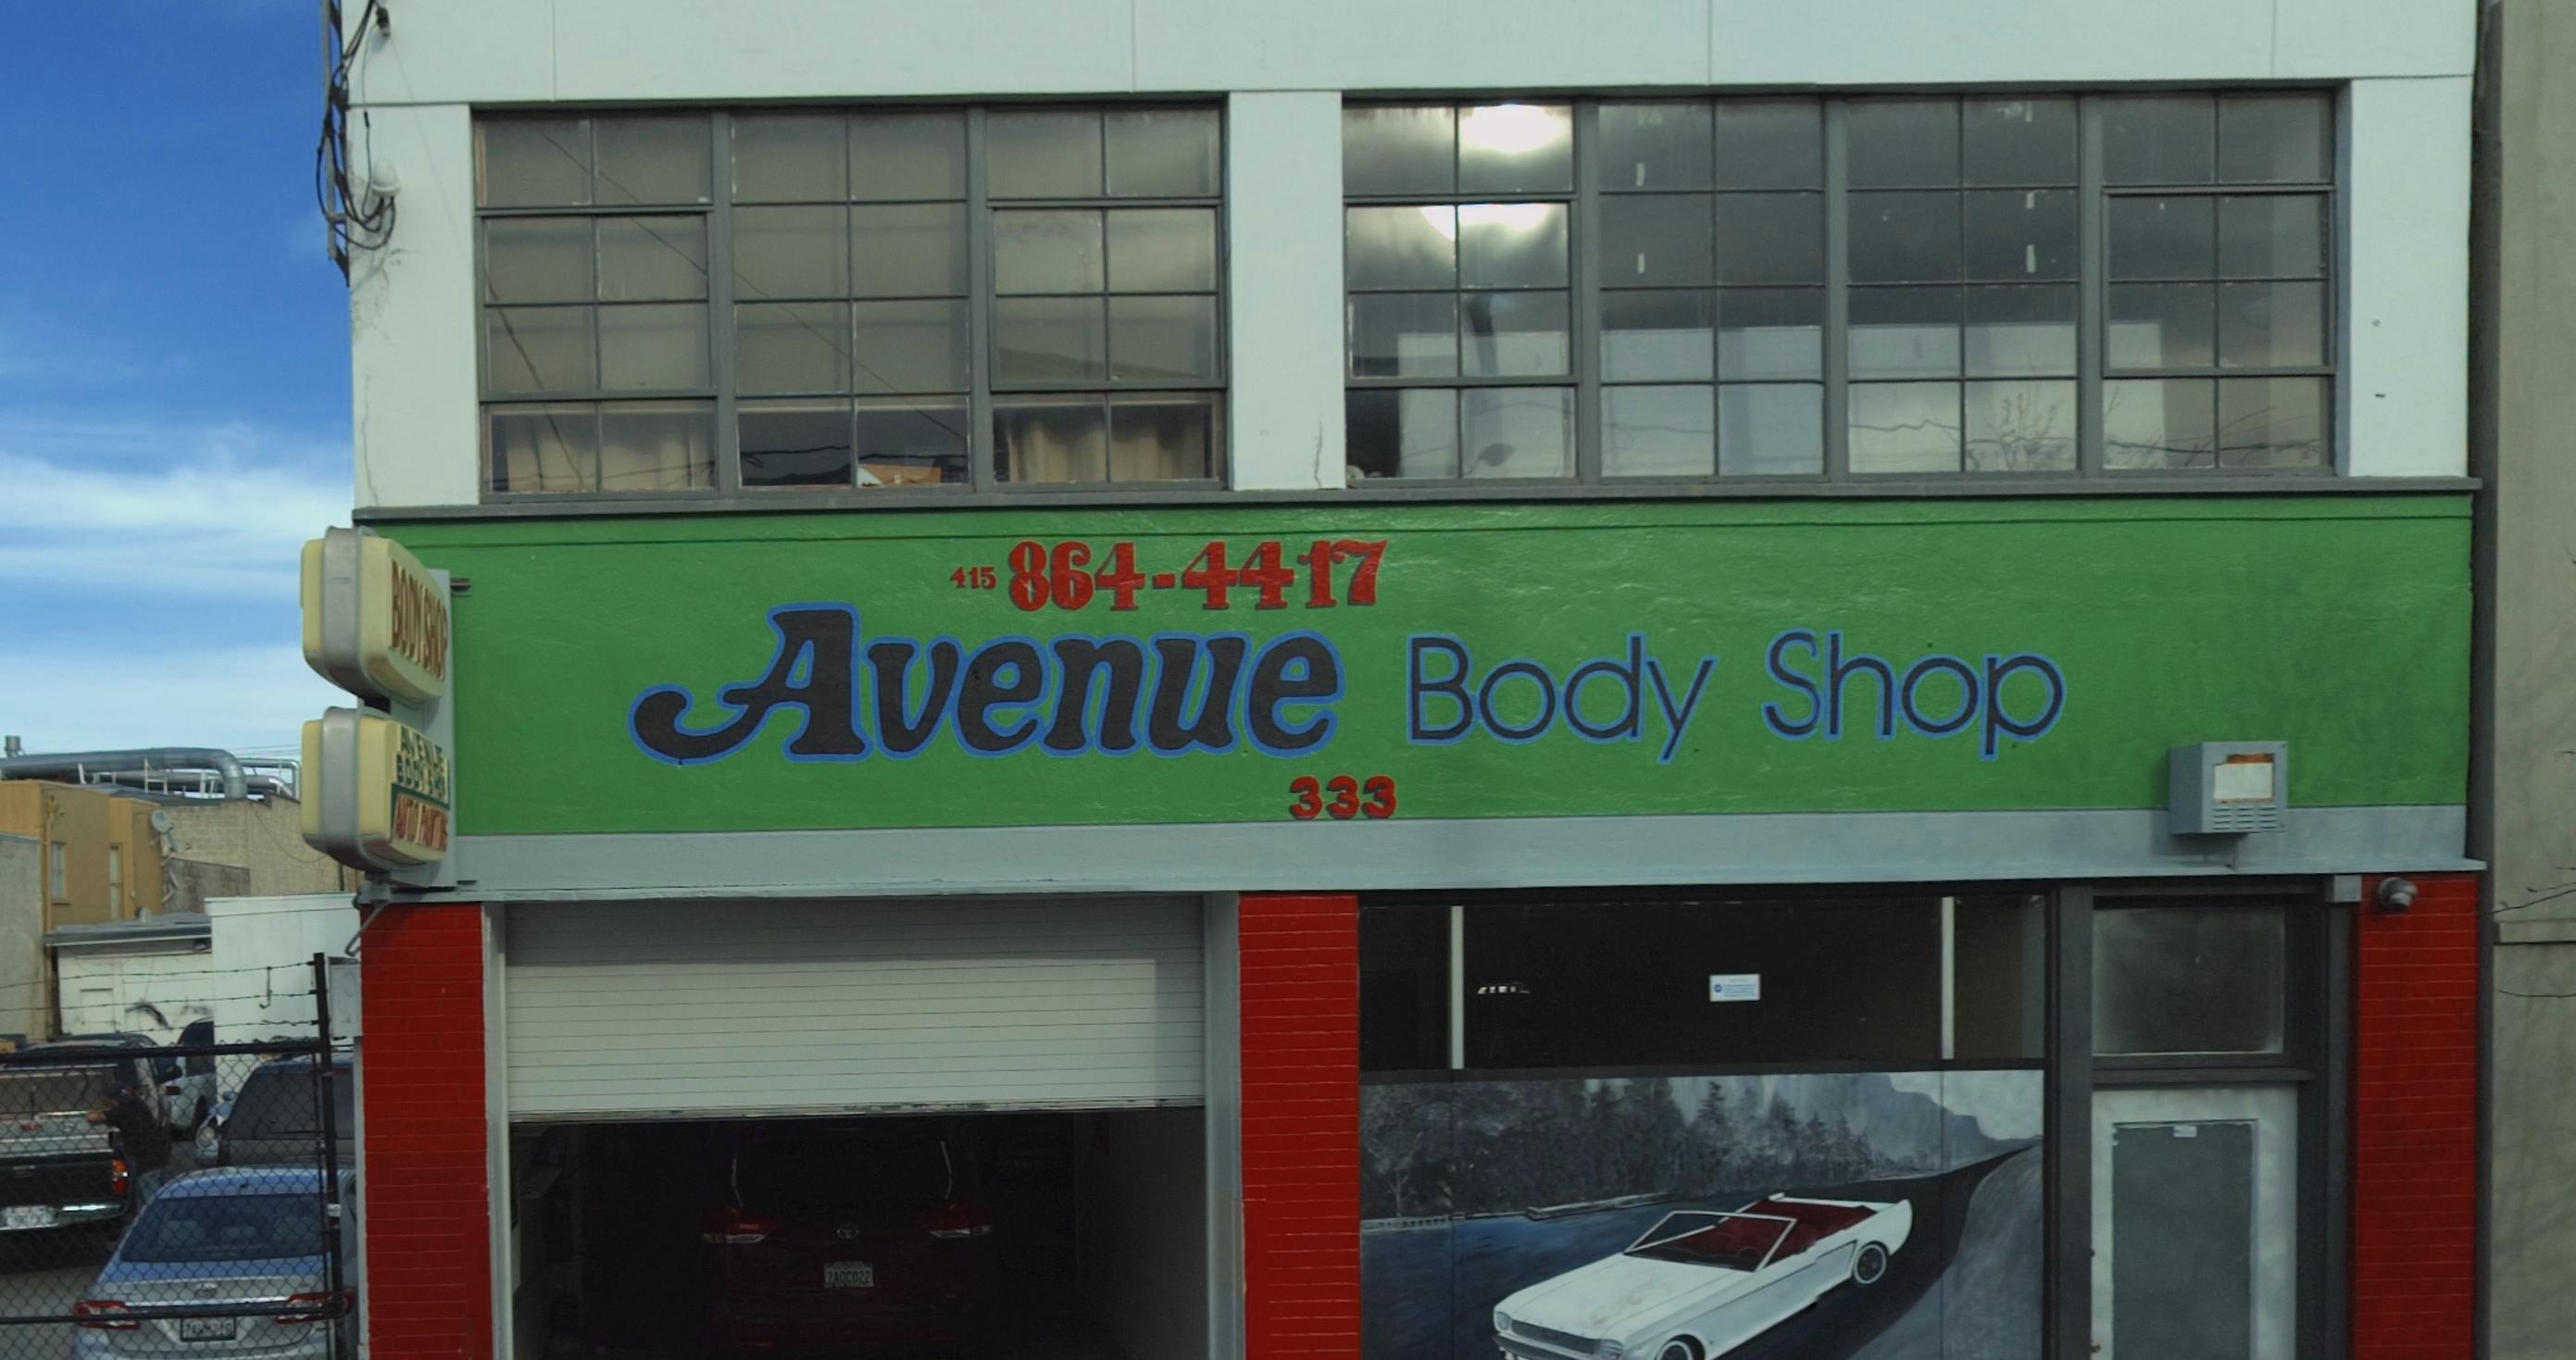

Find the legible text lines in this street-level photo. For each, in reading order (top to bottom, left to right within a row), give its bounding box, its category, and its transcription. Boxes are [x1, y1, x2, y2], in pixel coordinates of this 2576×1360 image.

[940, 530, 1398, 618] None: 415 864-4417
[617, 591, 2079, 771] BusinessName: Avenue Body Shop
[393, 749, 430, 798] BusinessName: BODY
[394, 718, 448, 776] BusinessName: AVENUE
[1282, 768, 1405, 825] StreetNumber: 333
[824, 1267, 876, 1288] None: 7AOCO22